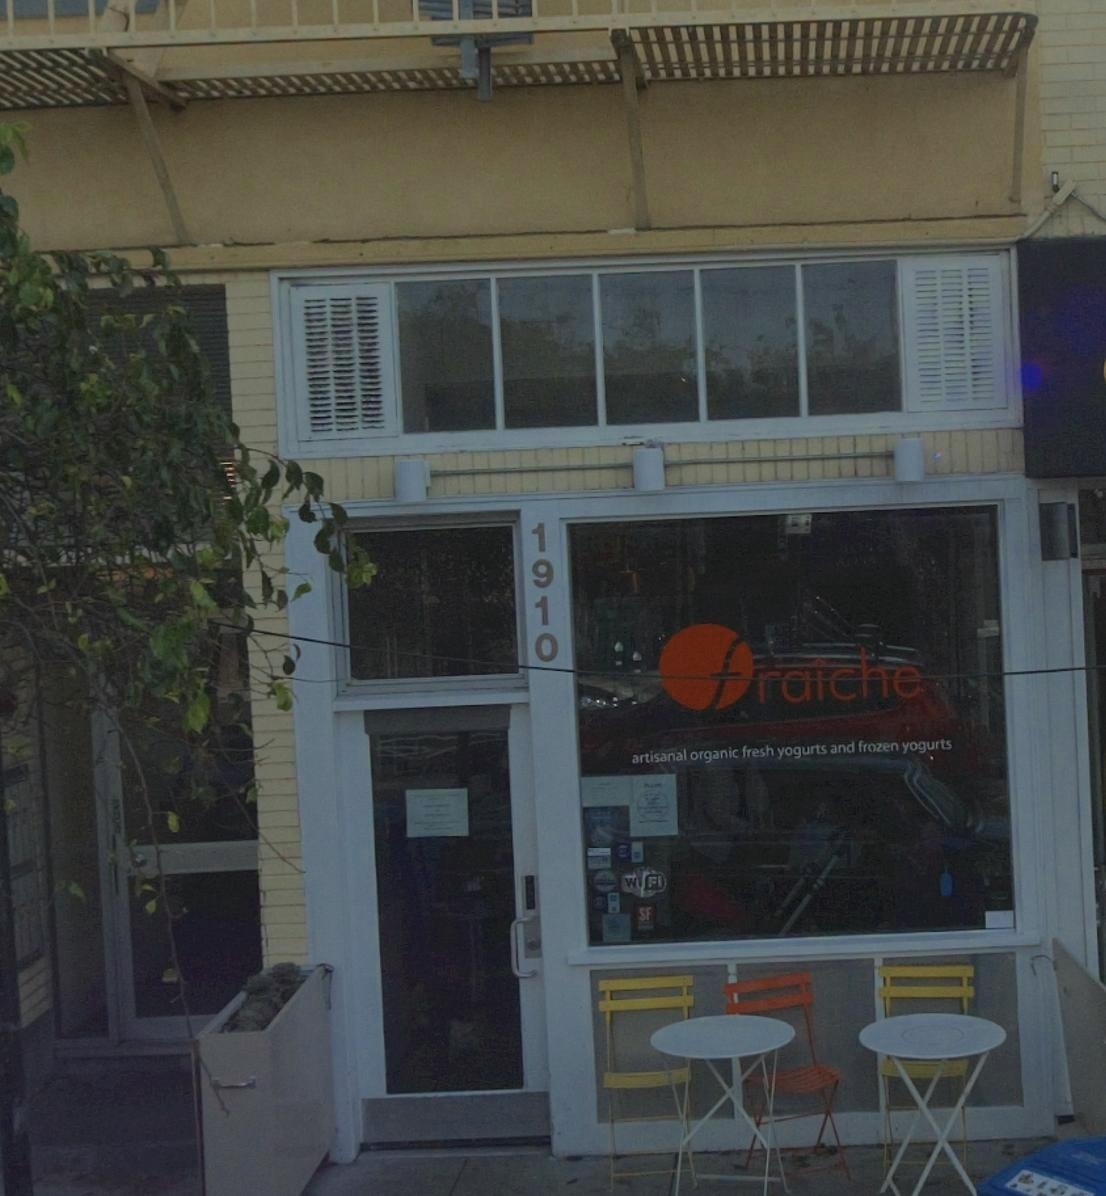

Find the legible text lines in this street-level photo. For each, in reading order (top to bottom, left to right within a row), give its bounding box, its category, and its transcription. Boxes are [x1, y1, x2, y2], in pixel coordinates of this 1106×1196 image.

[528, 520, 562, 666] StreetNumber: 1910
[693, 626, 929, 718] BusinessName: *raiche
[628, 735, 955, 766] None: artisanal organic fresh yogurts and frozen yogurts
[622, 872, 666, 891] None: wi*fi
[636, 905, 654, 923] None: SF